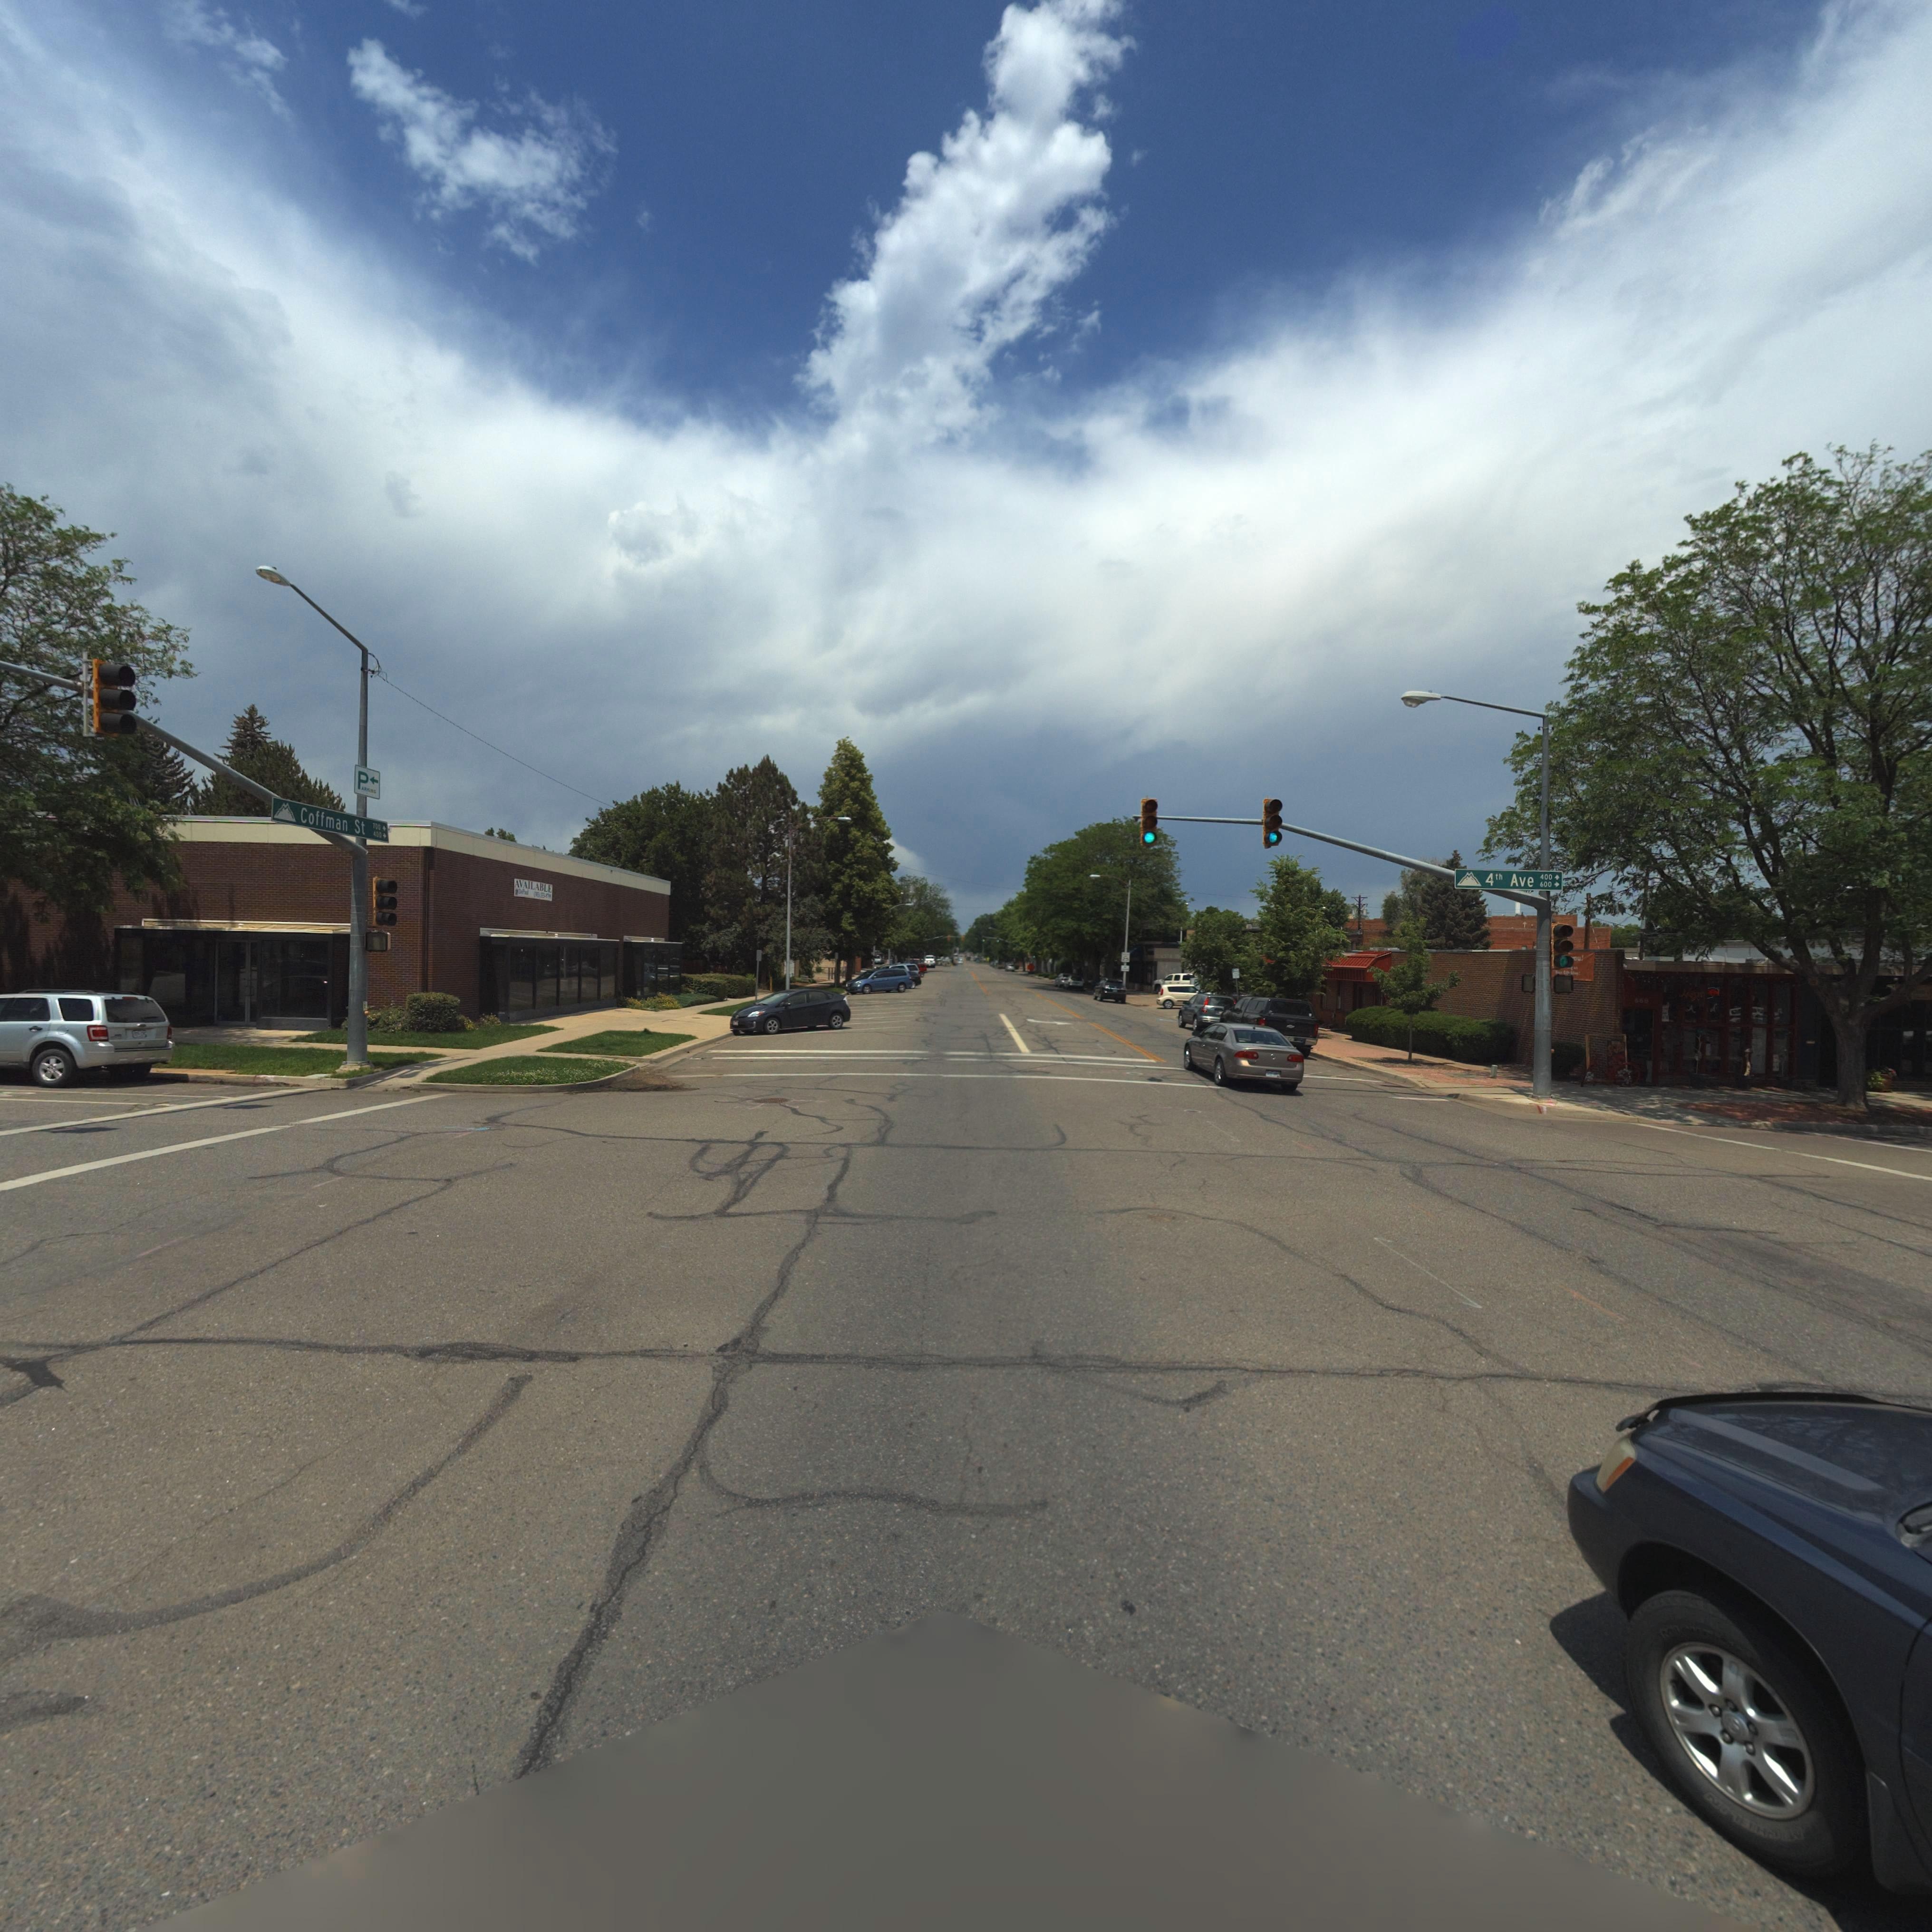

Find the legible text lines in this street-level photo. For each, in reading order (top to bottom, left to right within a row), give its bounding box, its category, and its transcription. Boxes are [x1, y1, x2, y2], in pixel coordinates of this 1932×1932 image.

[300, 807, 365, 835] StreetName: Coffman St
[372, 822, 381, 831] StreetNumberRange: *00
[372, 831, 387, 839] StreetNumberRange: 400->
[1485, 873, 1535, 887] StreetName: 4th Ave
[1539, 873, 1552, 880] StreetNumberRange: 400
[1539, 880, 1560, 888] StreetNumberRange: 600->
[1678, 987, 1705, 1002] BusinessName: A****
[1634, 997, 1649, 1004] StreetNumber: 668
[1684, 1003, 1784, 1014] BusinessName: Ad**n